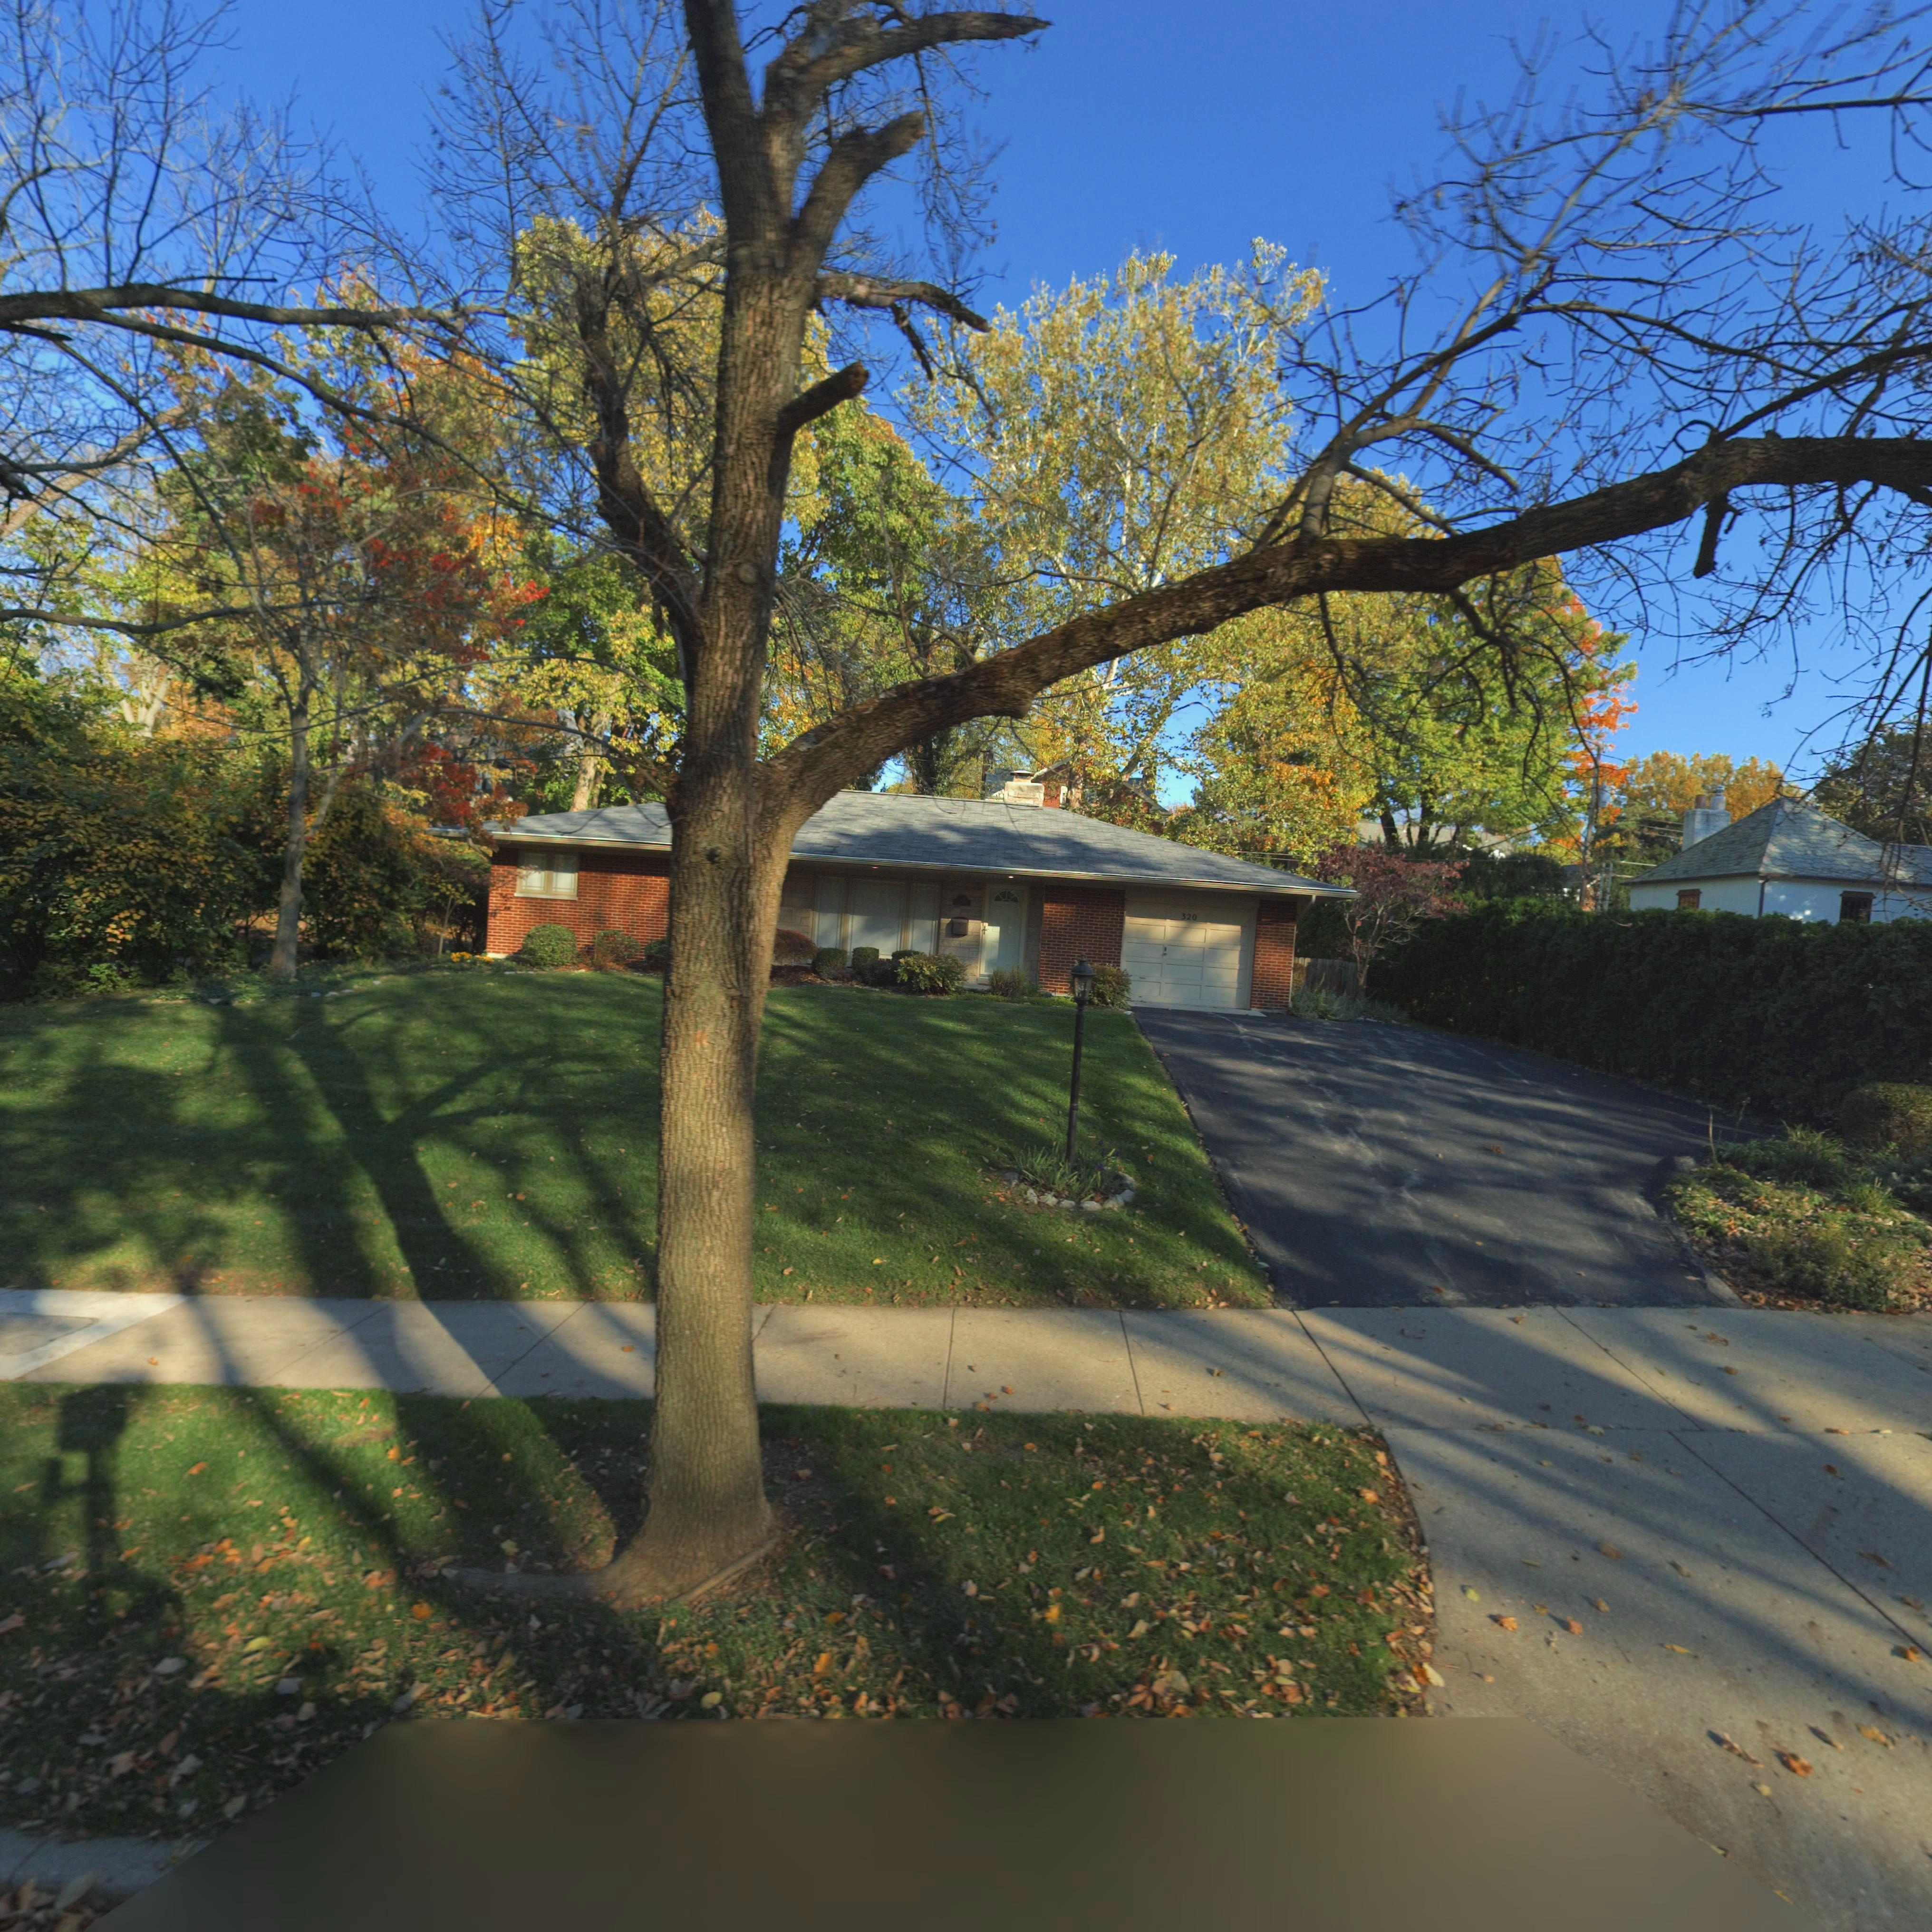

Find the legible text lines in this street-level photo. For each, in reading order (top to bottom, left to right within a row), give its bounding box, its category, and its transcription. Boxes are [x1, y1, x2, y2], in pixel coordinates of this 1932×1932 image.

[1180, 913, 1198, 921] StreetNumber: 320